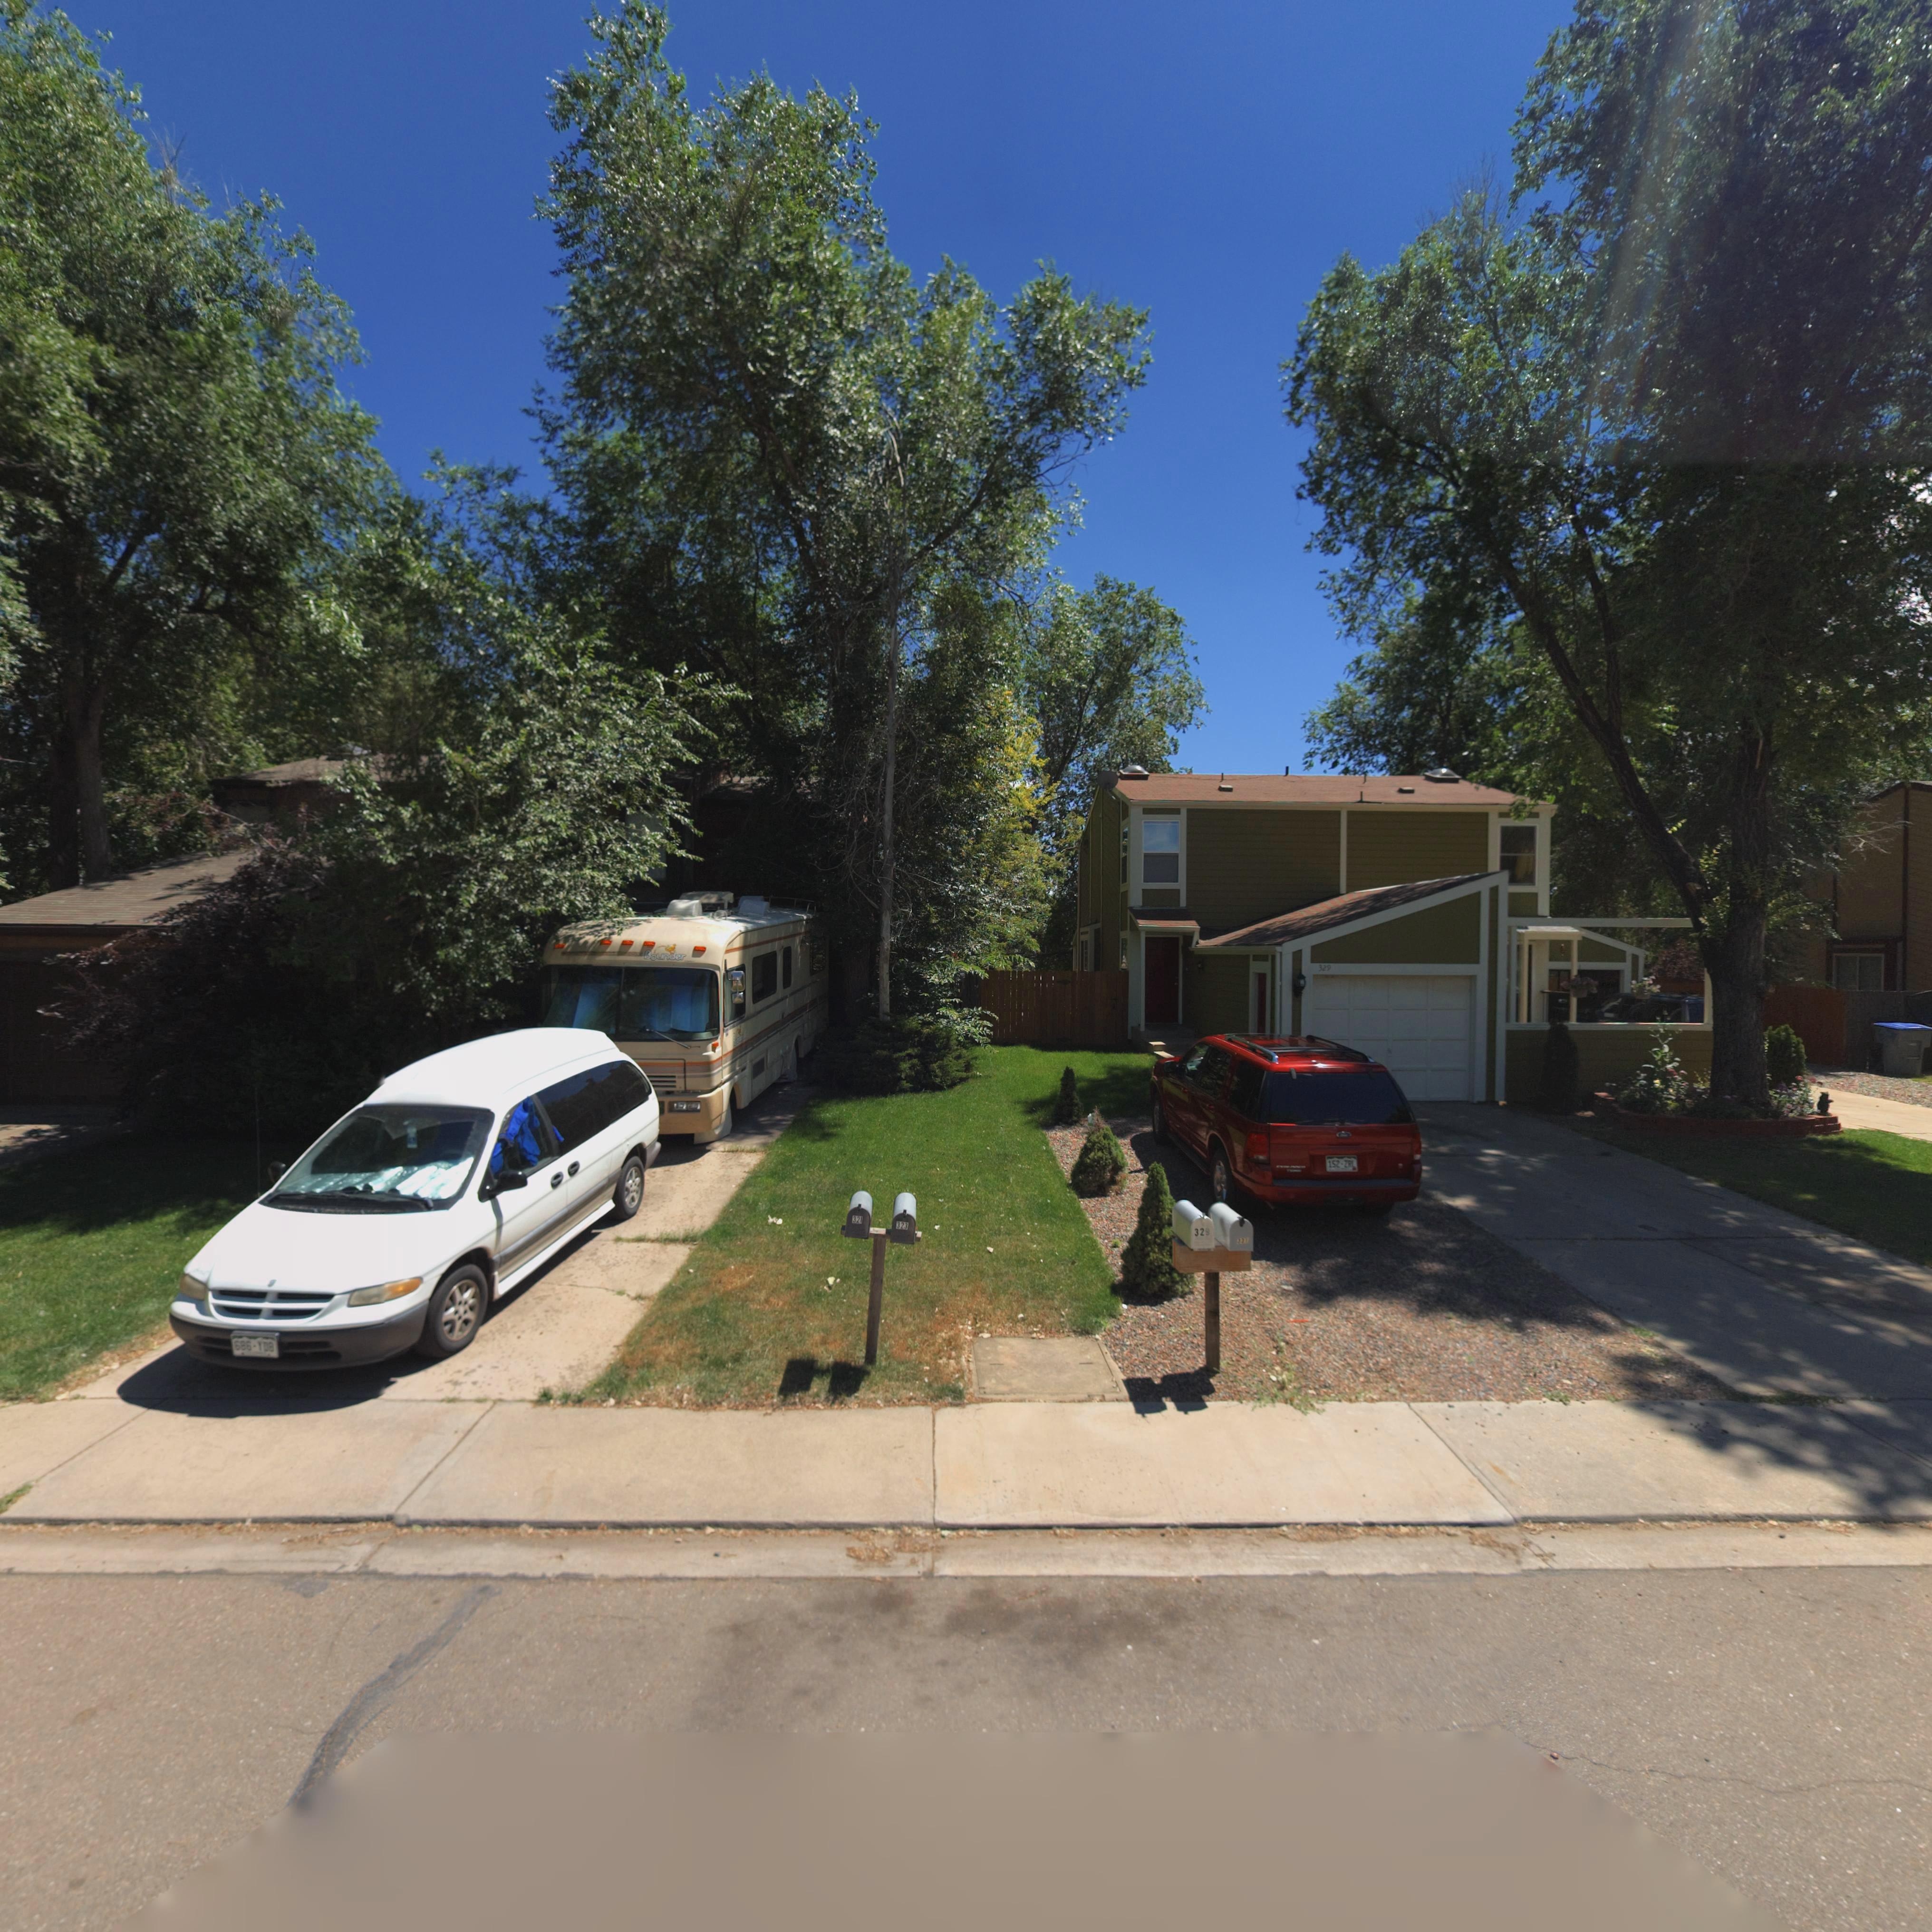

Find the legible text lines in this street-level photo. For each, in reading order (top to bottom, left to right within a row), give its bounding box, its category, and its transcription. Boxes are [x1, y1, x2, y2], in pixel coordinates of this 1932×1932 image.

[1318, 964, 1332, 972] StreetNumber: 329
[852, 1216, 862, 1223] StreetNumber: 321
[1194, 1227, 1210, 1236] StreetNumber: 32*
[1236, 1237, 1248, 1244] StreetNumber: 331